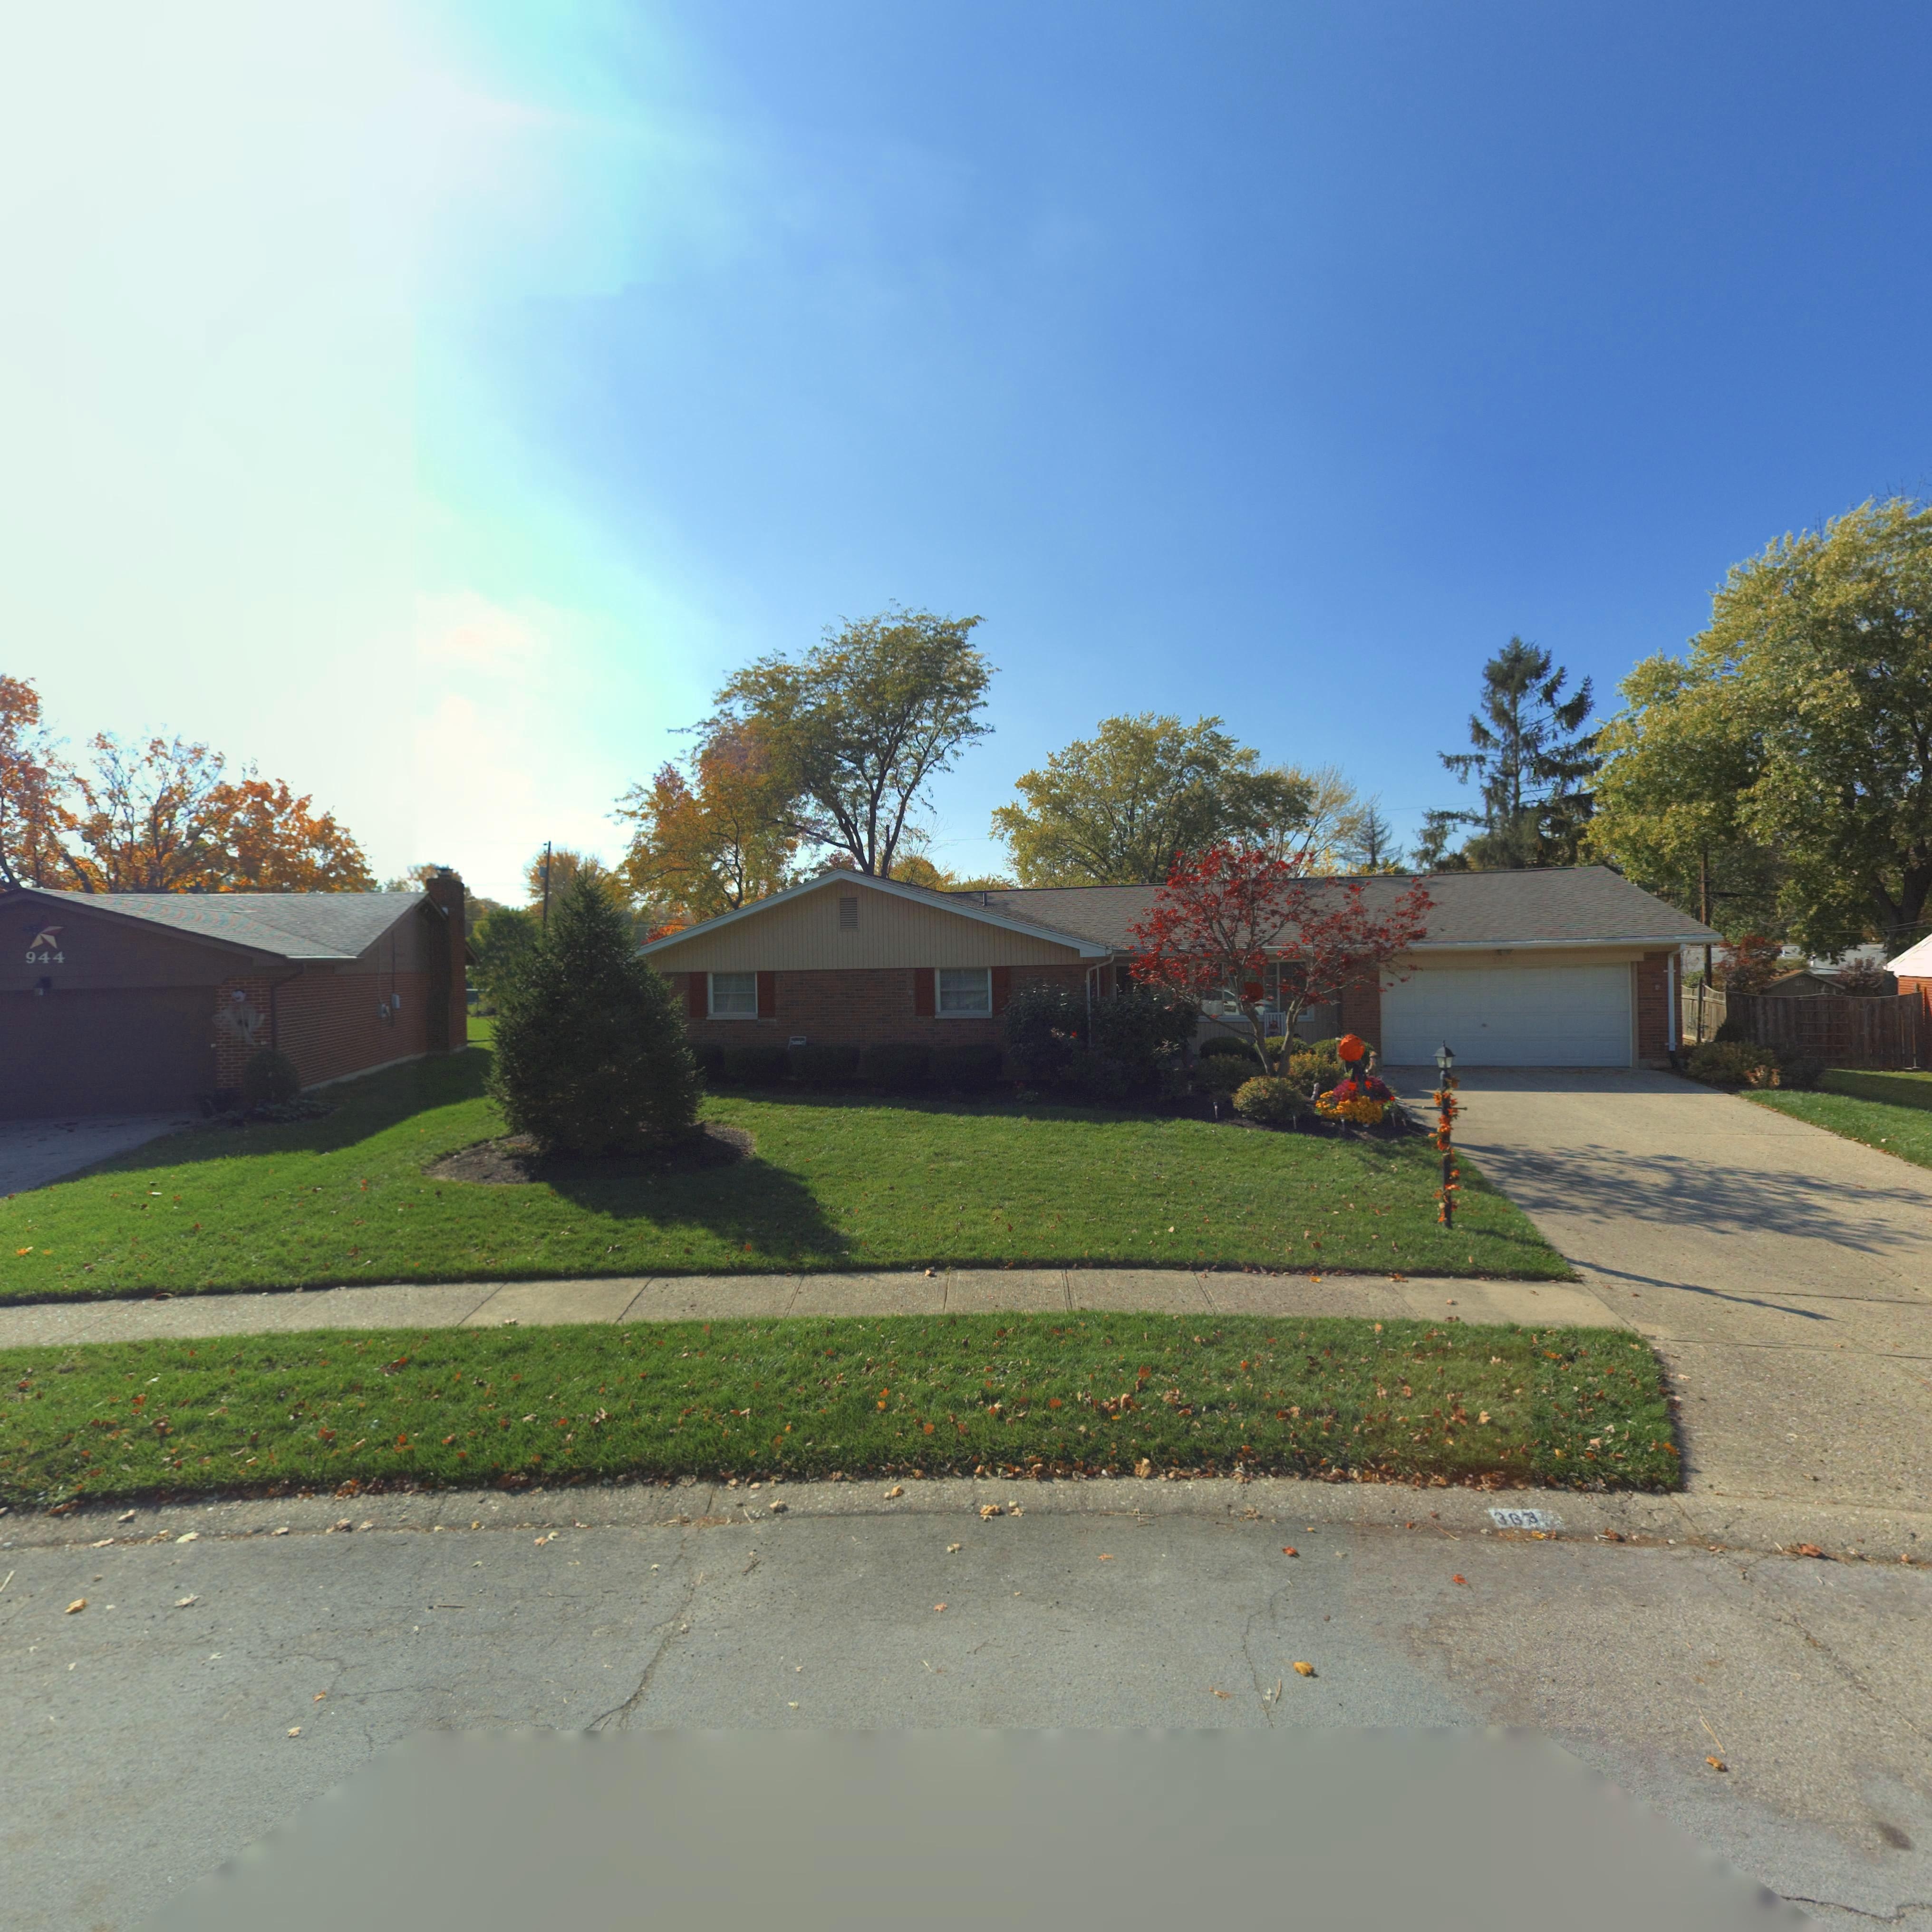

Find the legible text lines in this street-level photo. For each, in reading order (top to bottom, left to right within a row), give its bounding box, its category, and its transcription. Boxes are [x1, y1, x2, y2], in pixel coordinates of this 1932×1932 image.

[25, 951, 65, 964] StreetNumber: 944
[1493, 1511, 1540, 1526] StreetNumber: 367*